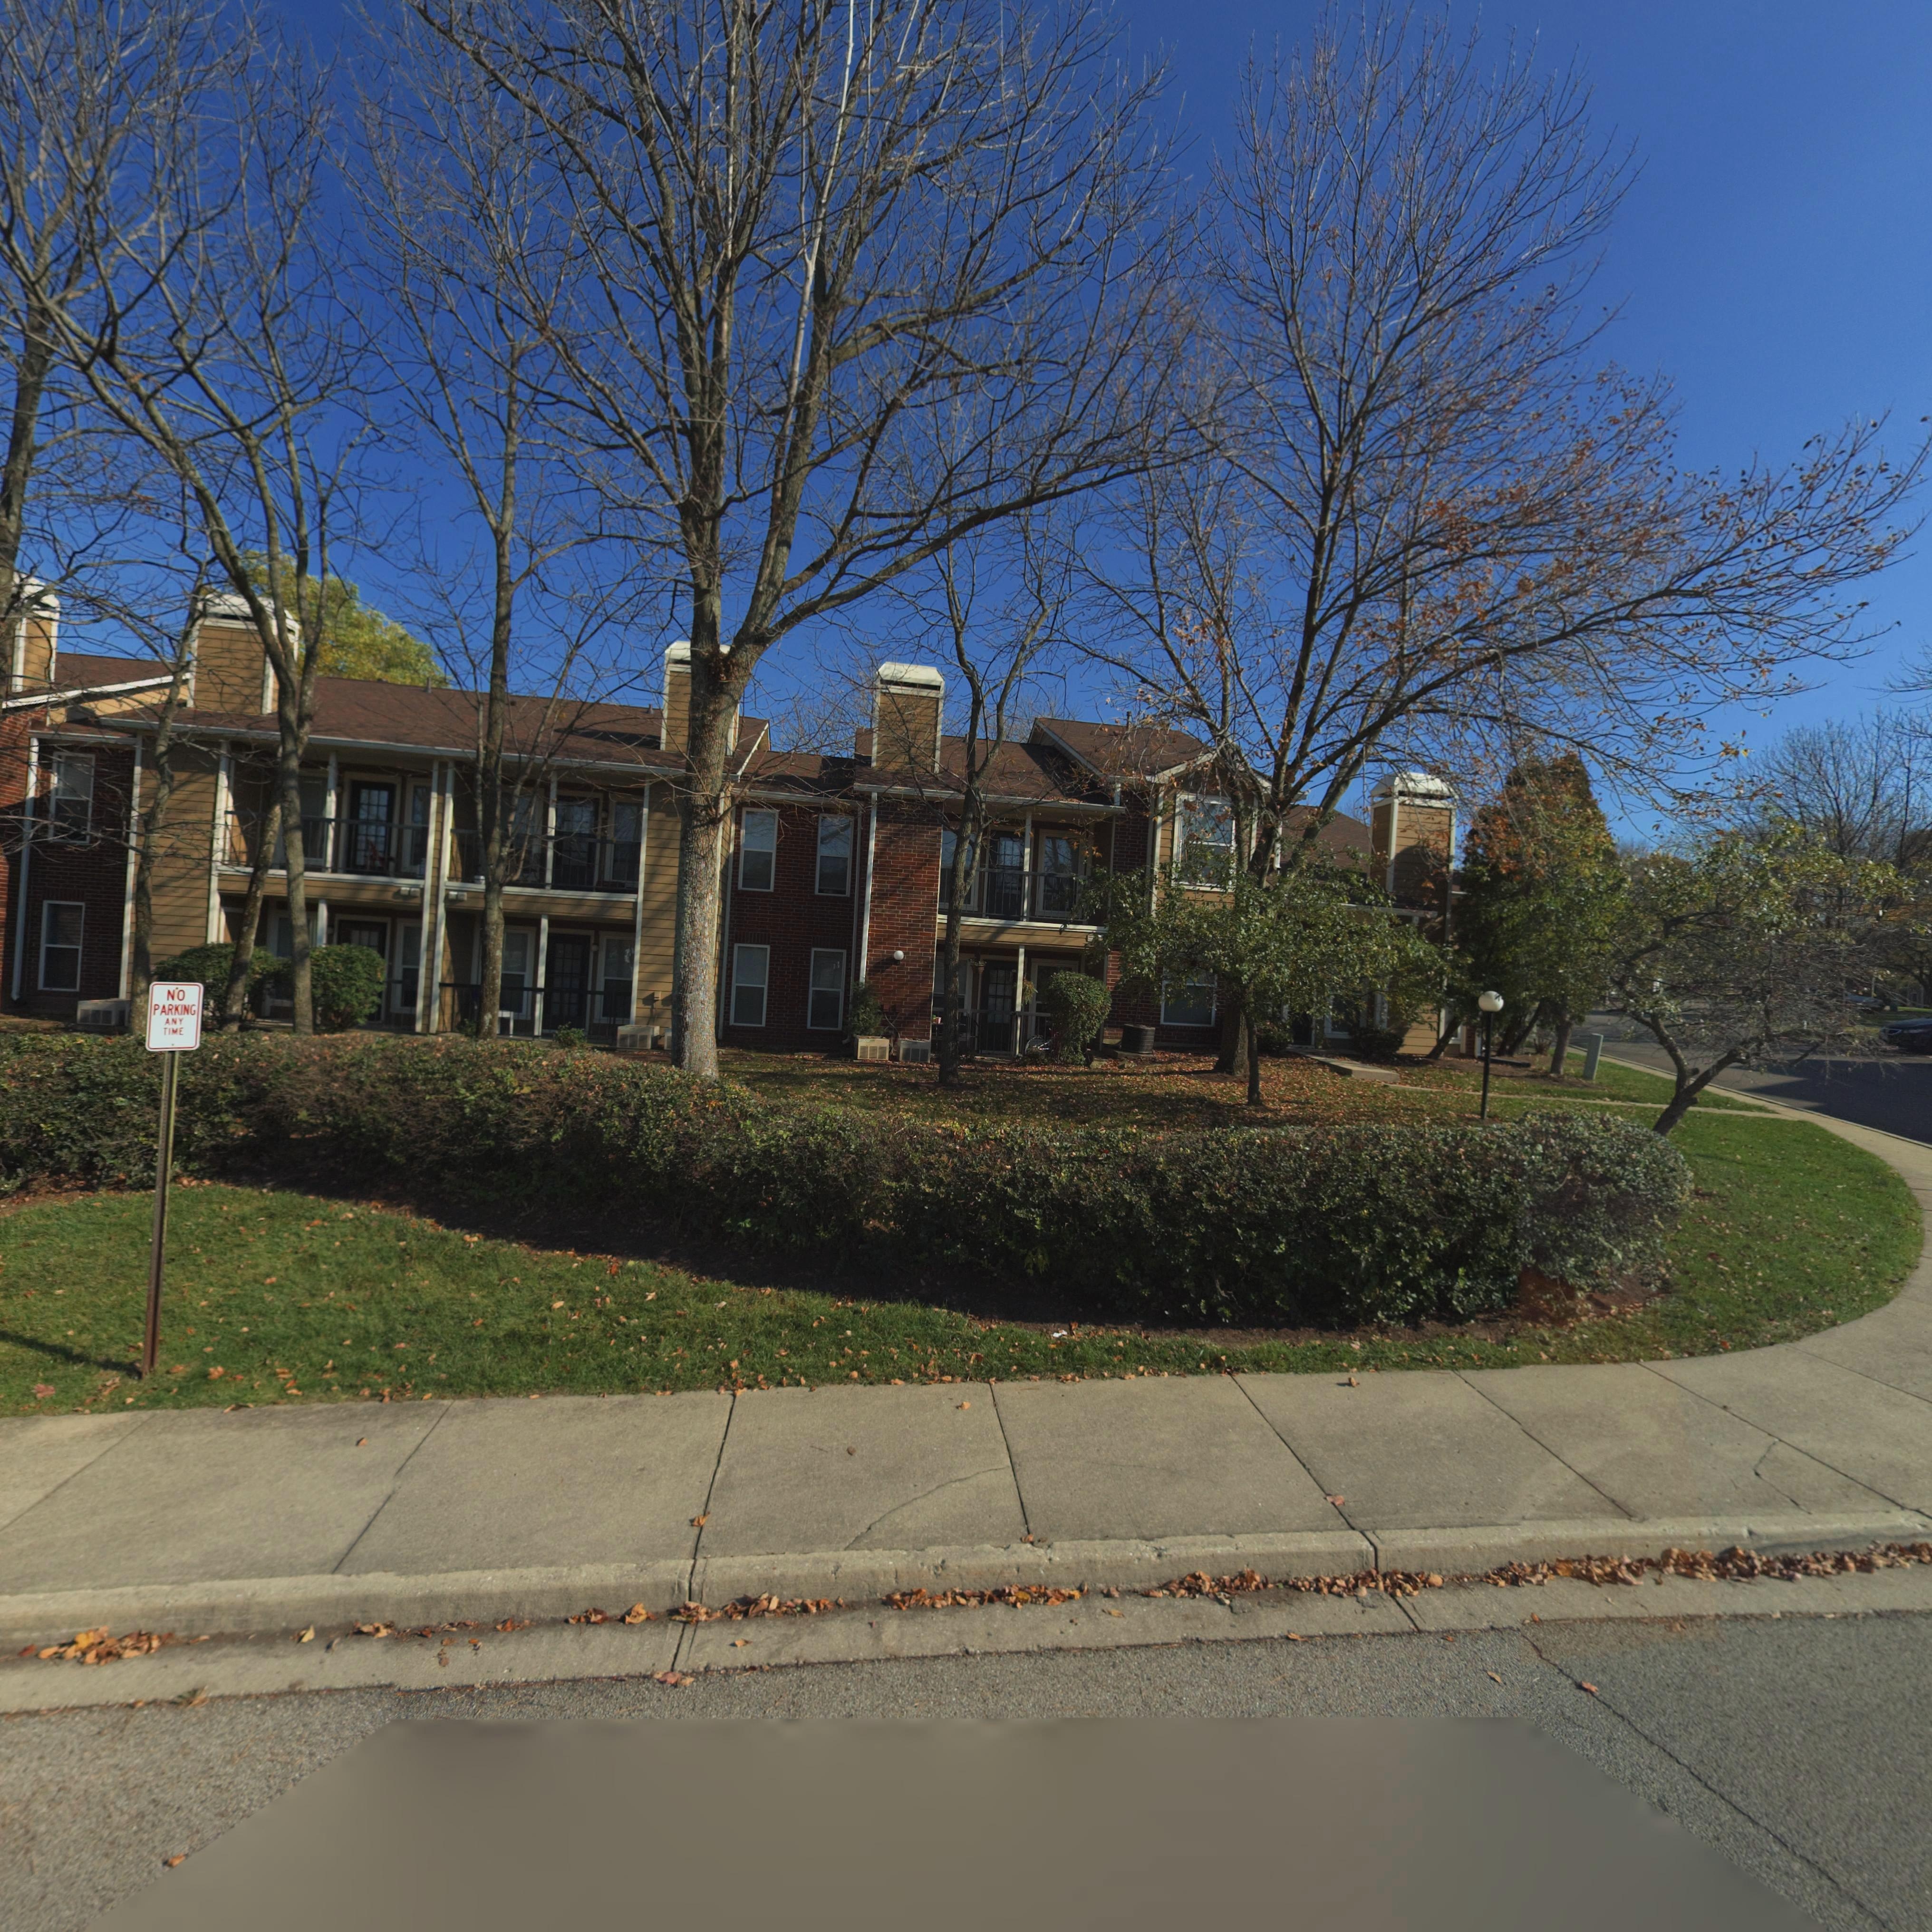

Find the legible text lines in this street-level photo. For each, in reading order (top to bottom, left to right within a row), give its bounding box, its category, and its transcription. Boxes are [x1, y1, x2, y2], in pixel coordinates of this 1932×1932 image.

[166, 988, 186, 1002] None: NO
[153, 1003, 197, 1016] None: PARKING
[164, 1017, 184, 1025] None: ANY
[163, 1027, 184, 1036] None: TIME